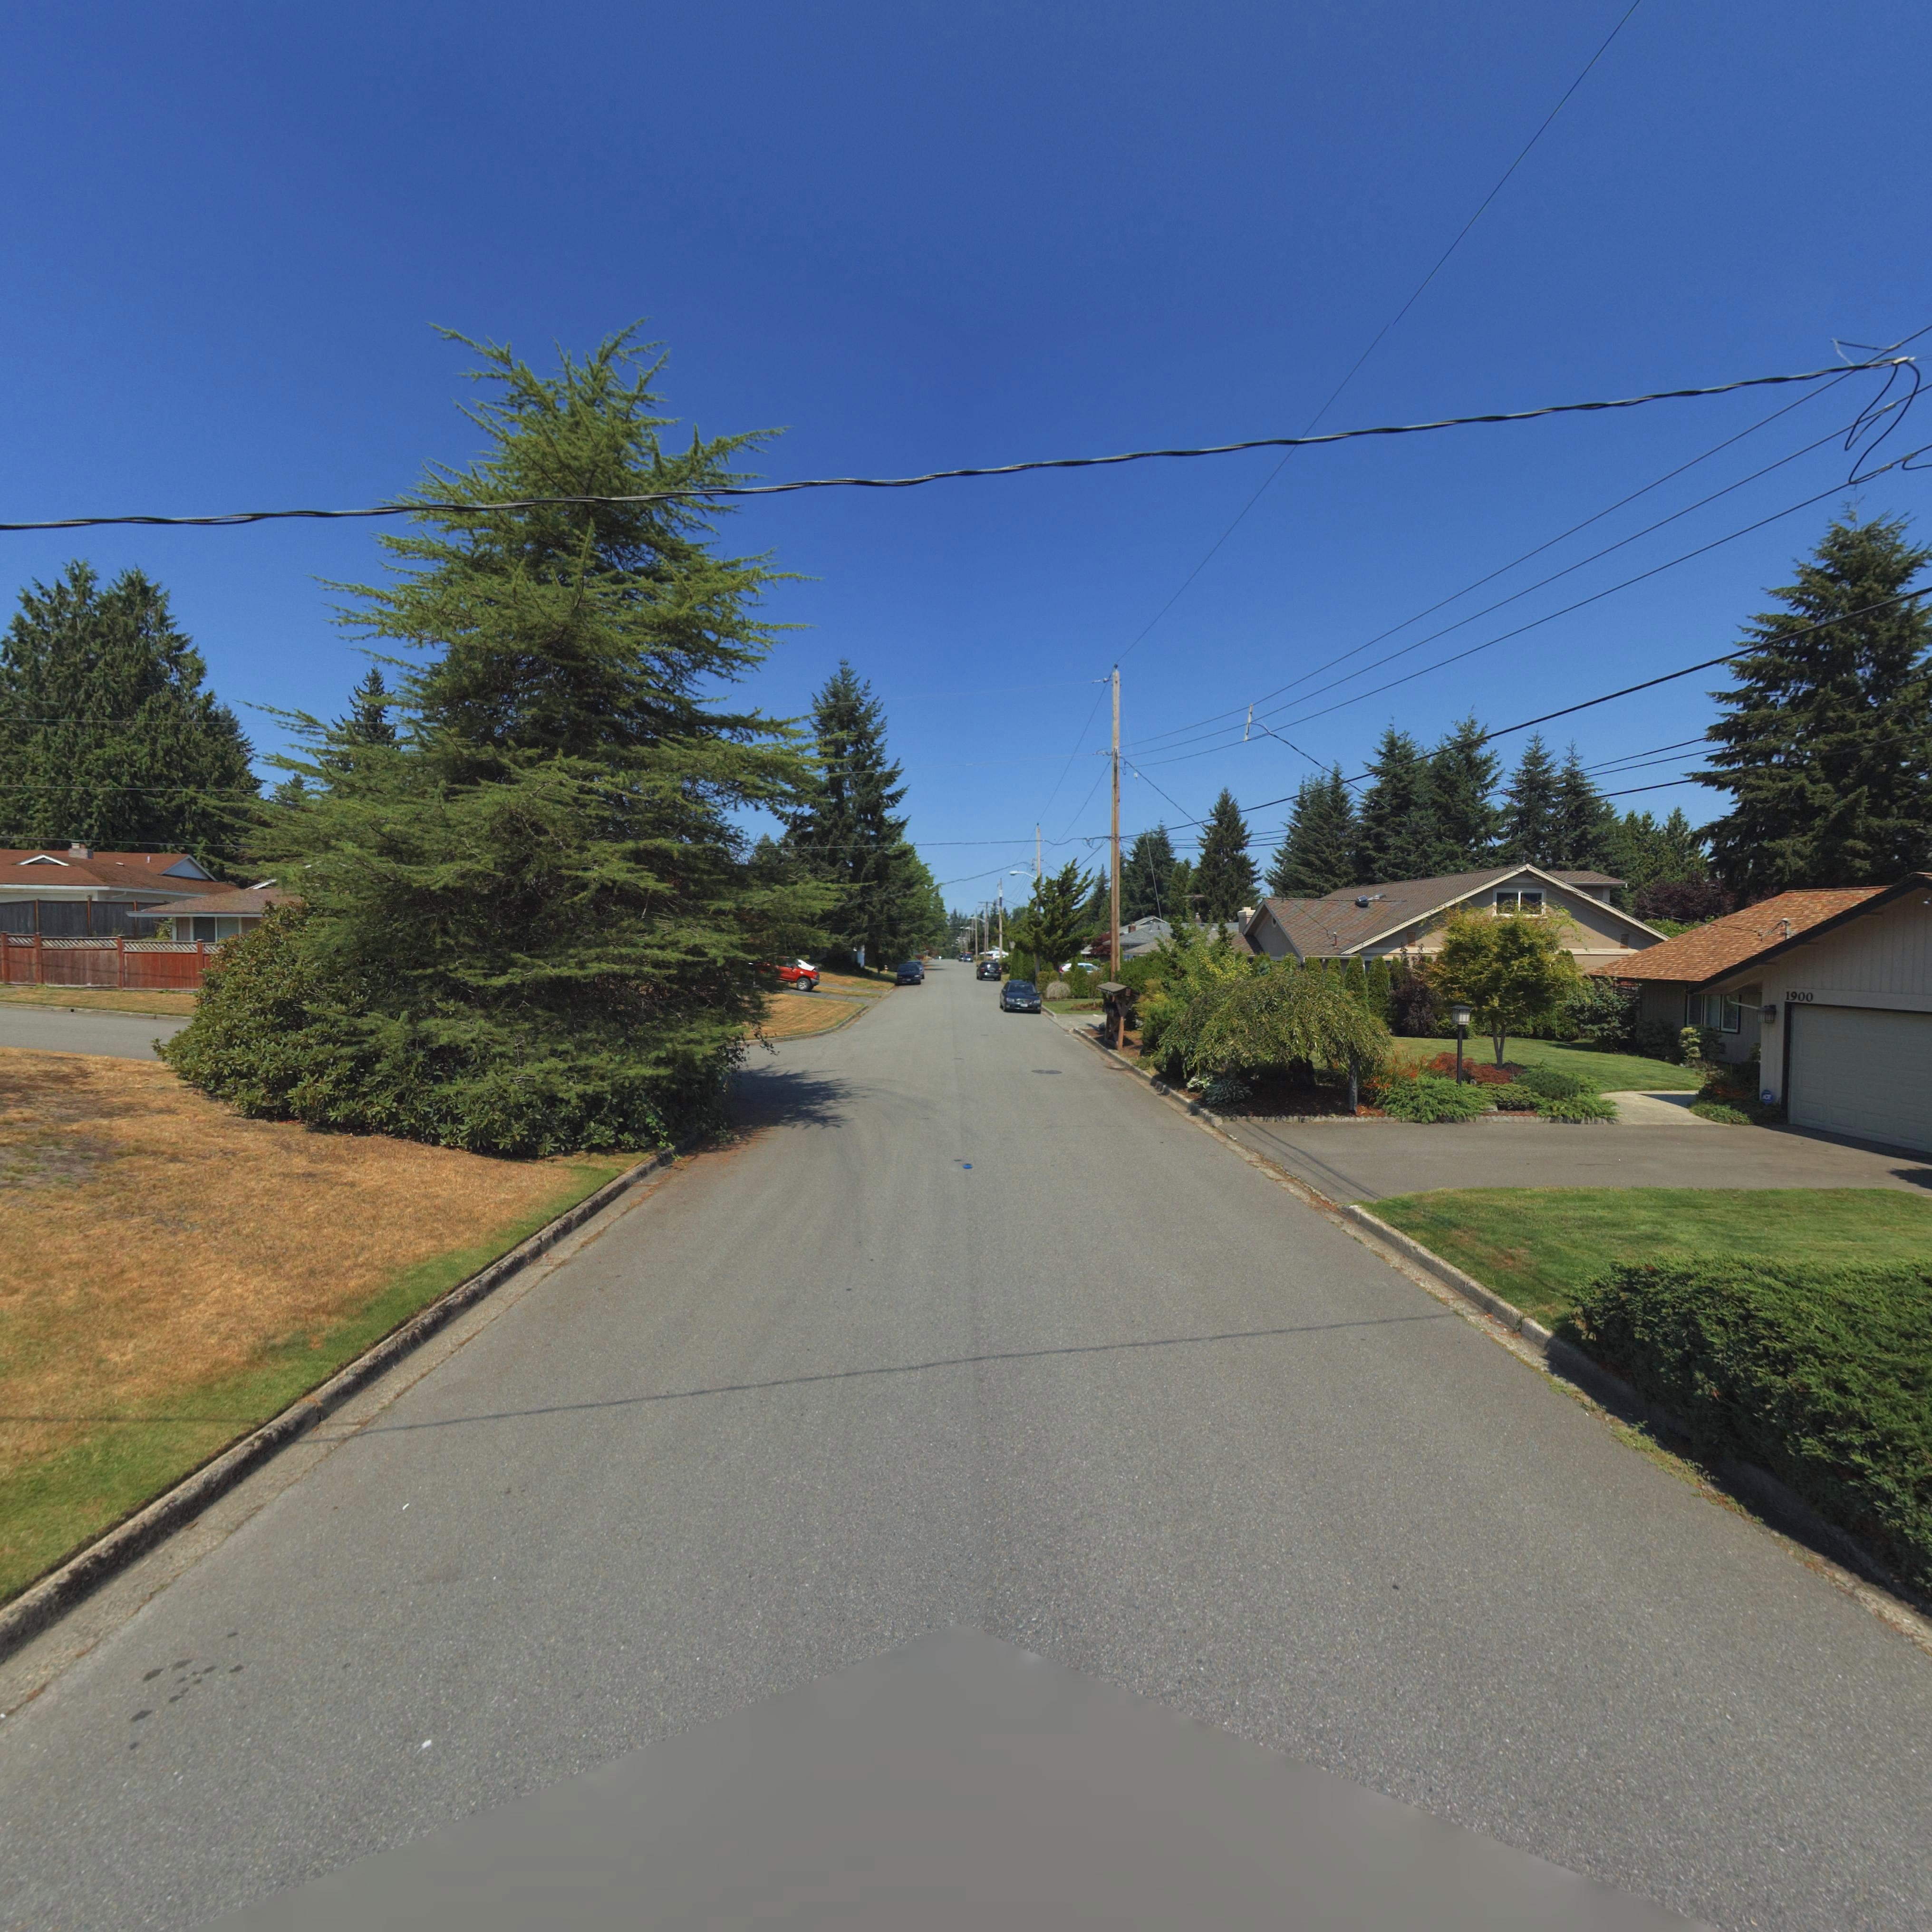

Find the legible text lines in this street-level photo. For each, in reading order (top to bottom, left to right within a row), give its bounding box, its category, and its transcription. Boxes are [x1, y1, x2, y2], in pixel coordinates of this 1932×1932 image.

[1786, 991, 1813, 1002] StreetNumber: 1900